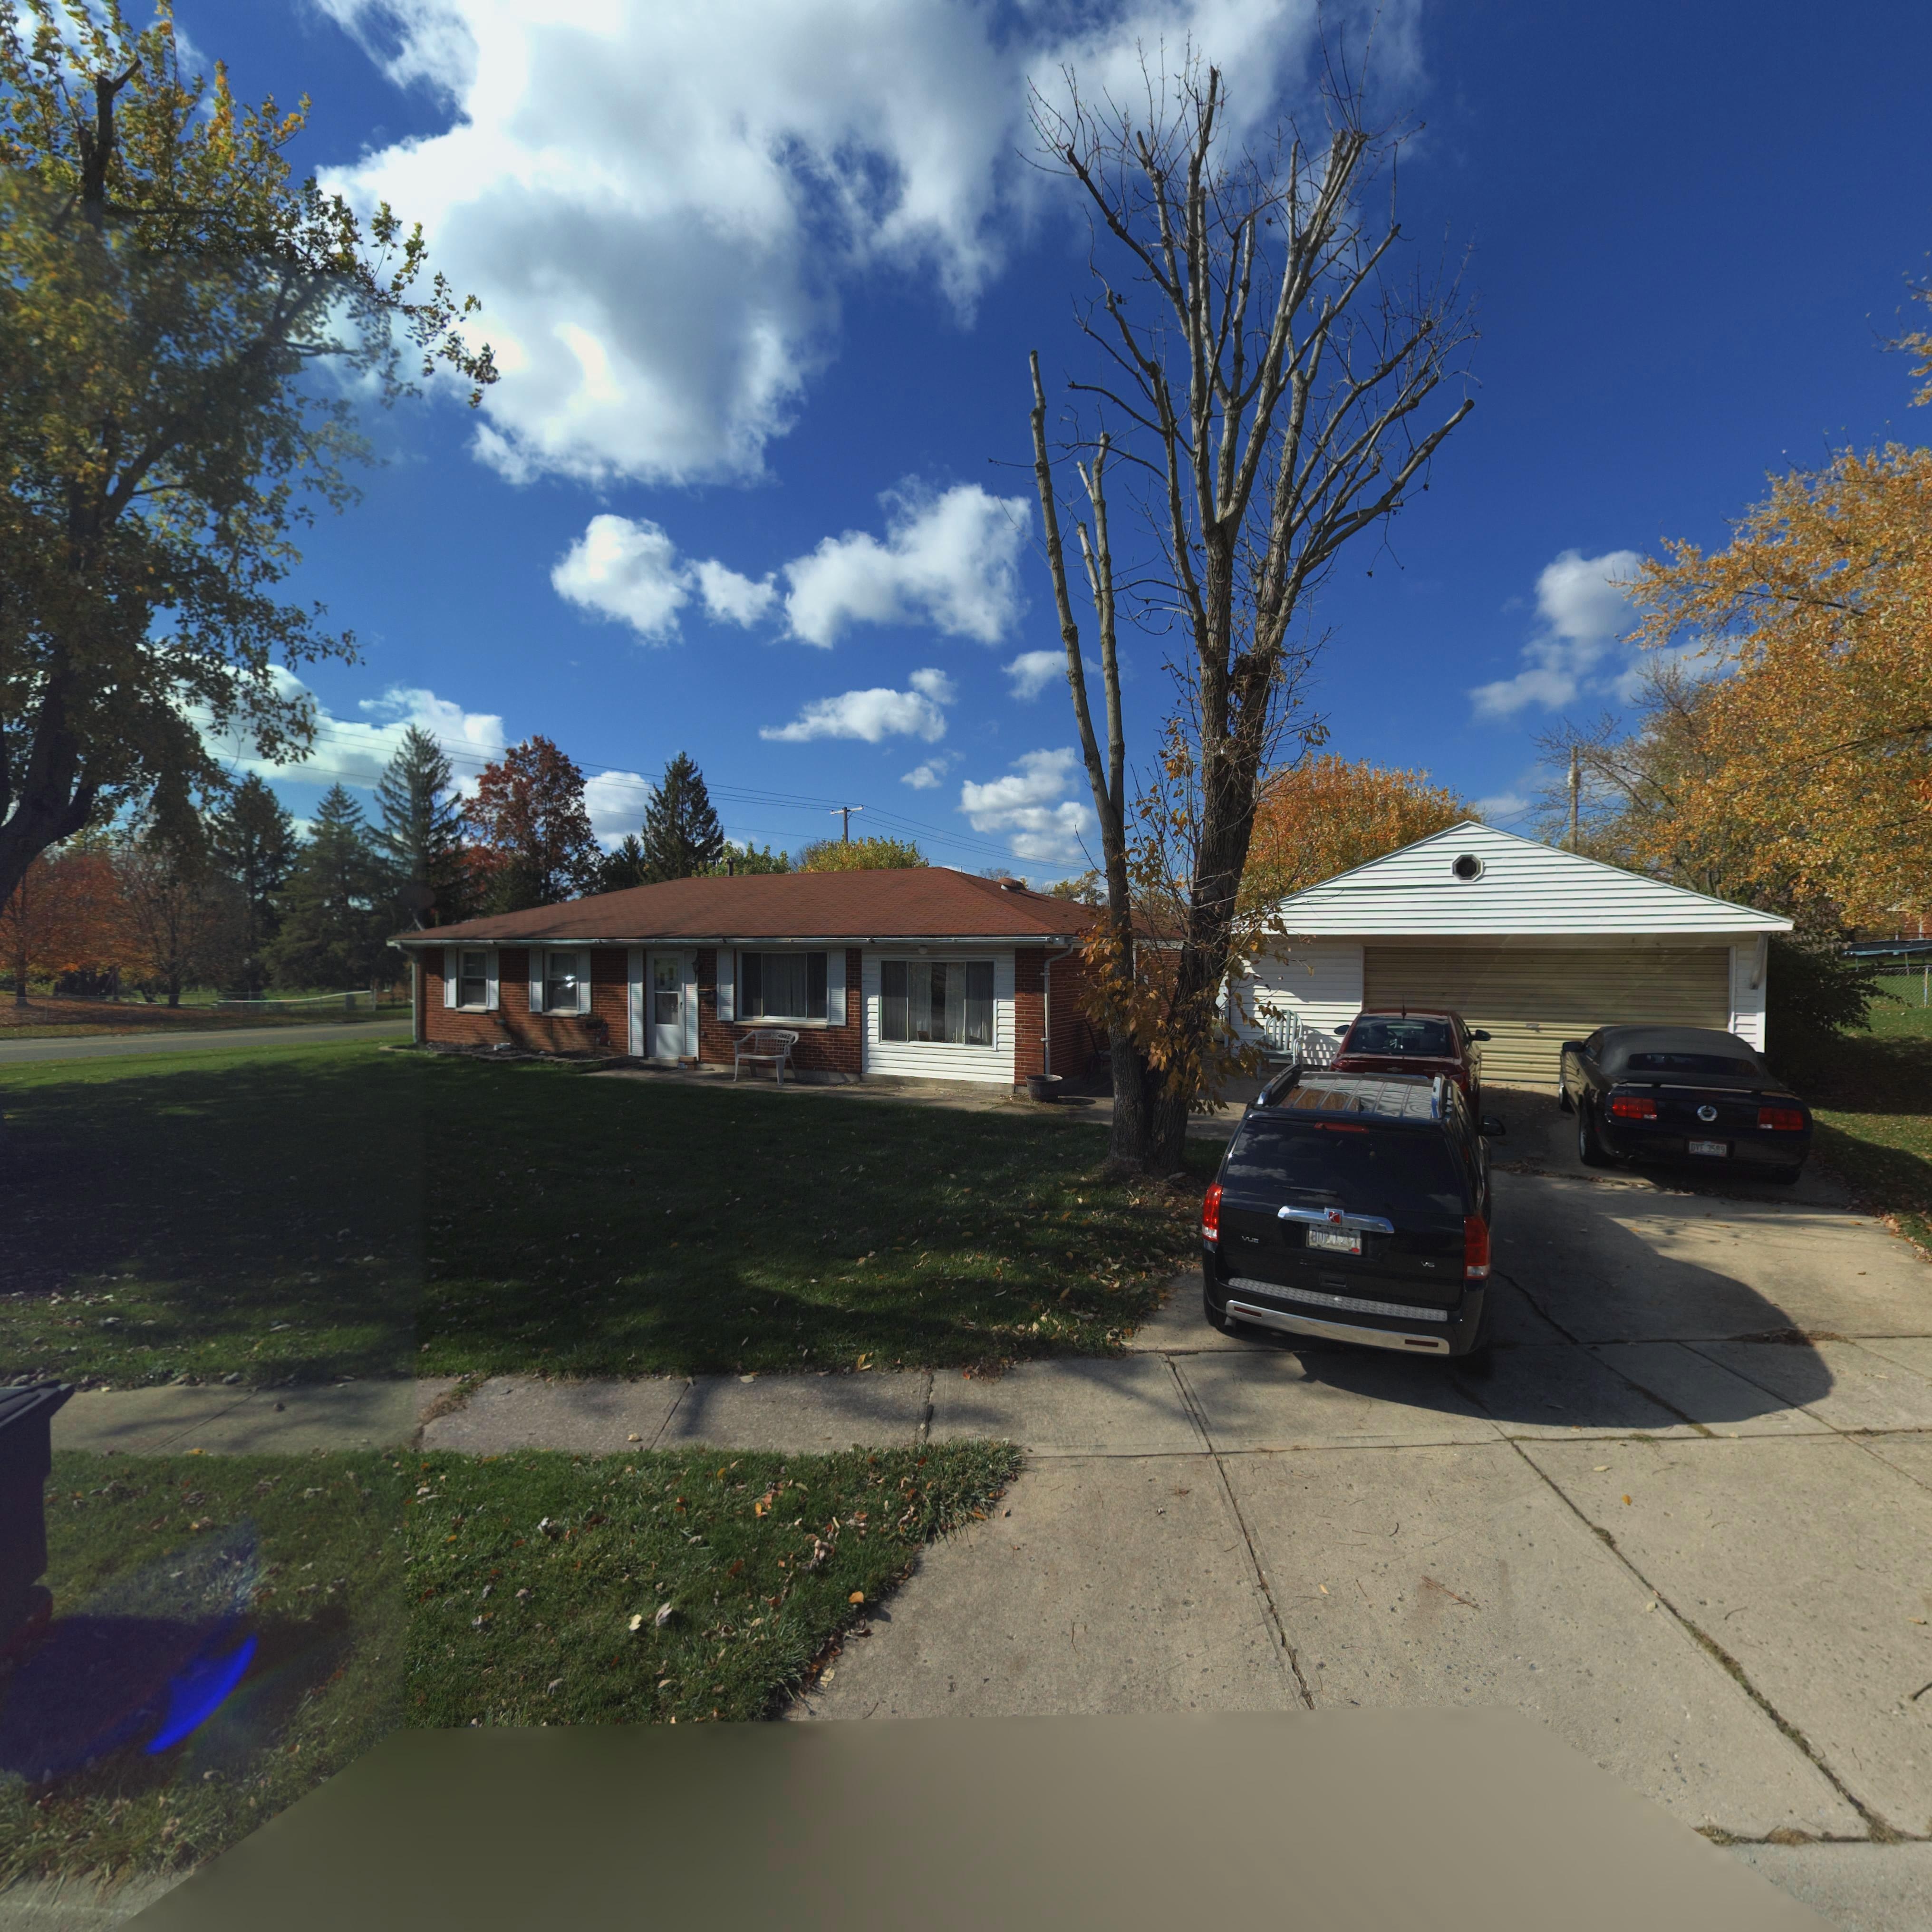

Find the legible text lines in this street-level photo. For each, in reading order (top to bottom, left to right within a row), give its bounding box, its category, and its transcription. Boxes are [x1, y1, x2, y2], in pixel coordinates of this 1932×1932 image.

[699, 976, 715, 984] StreetNumber: 7*0*